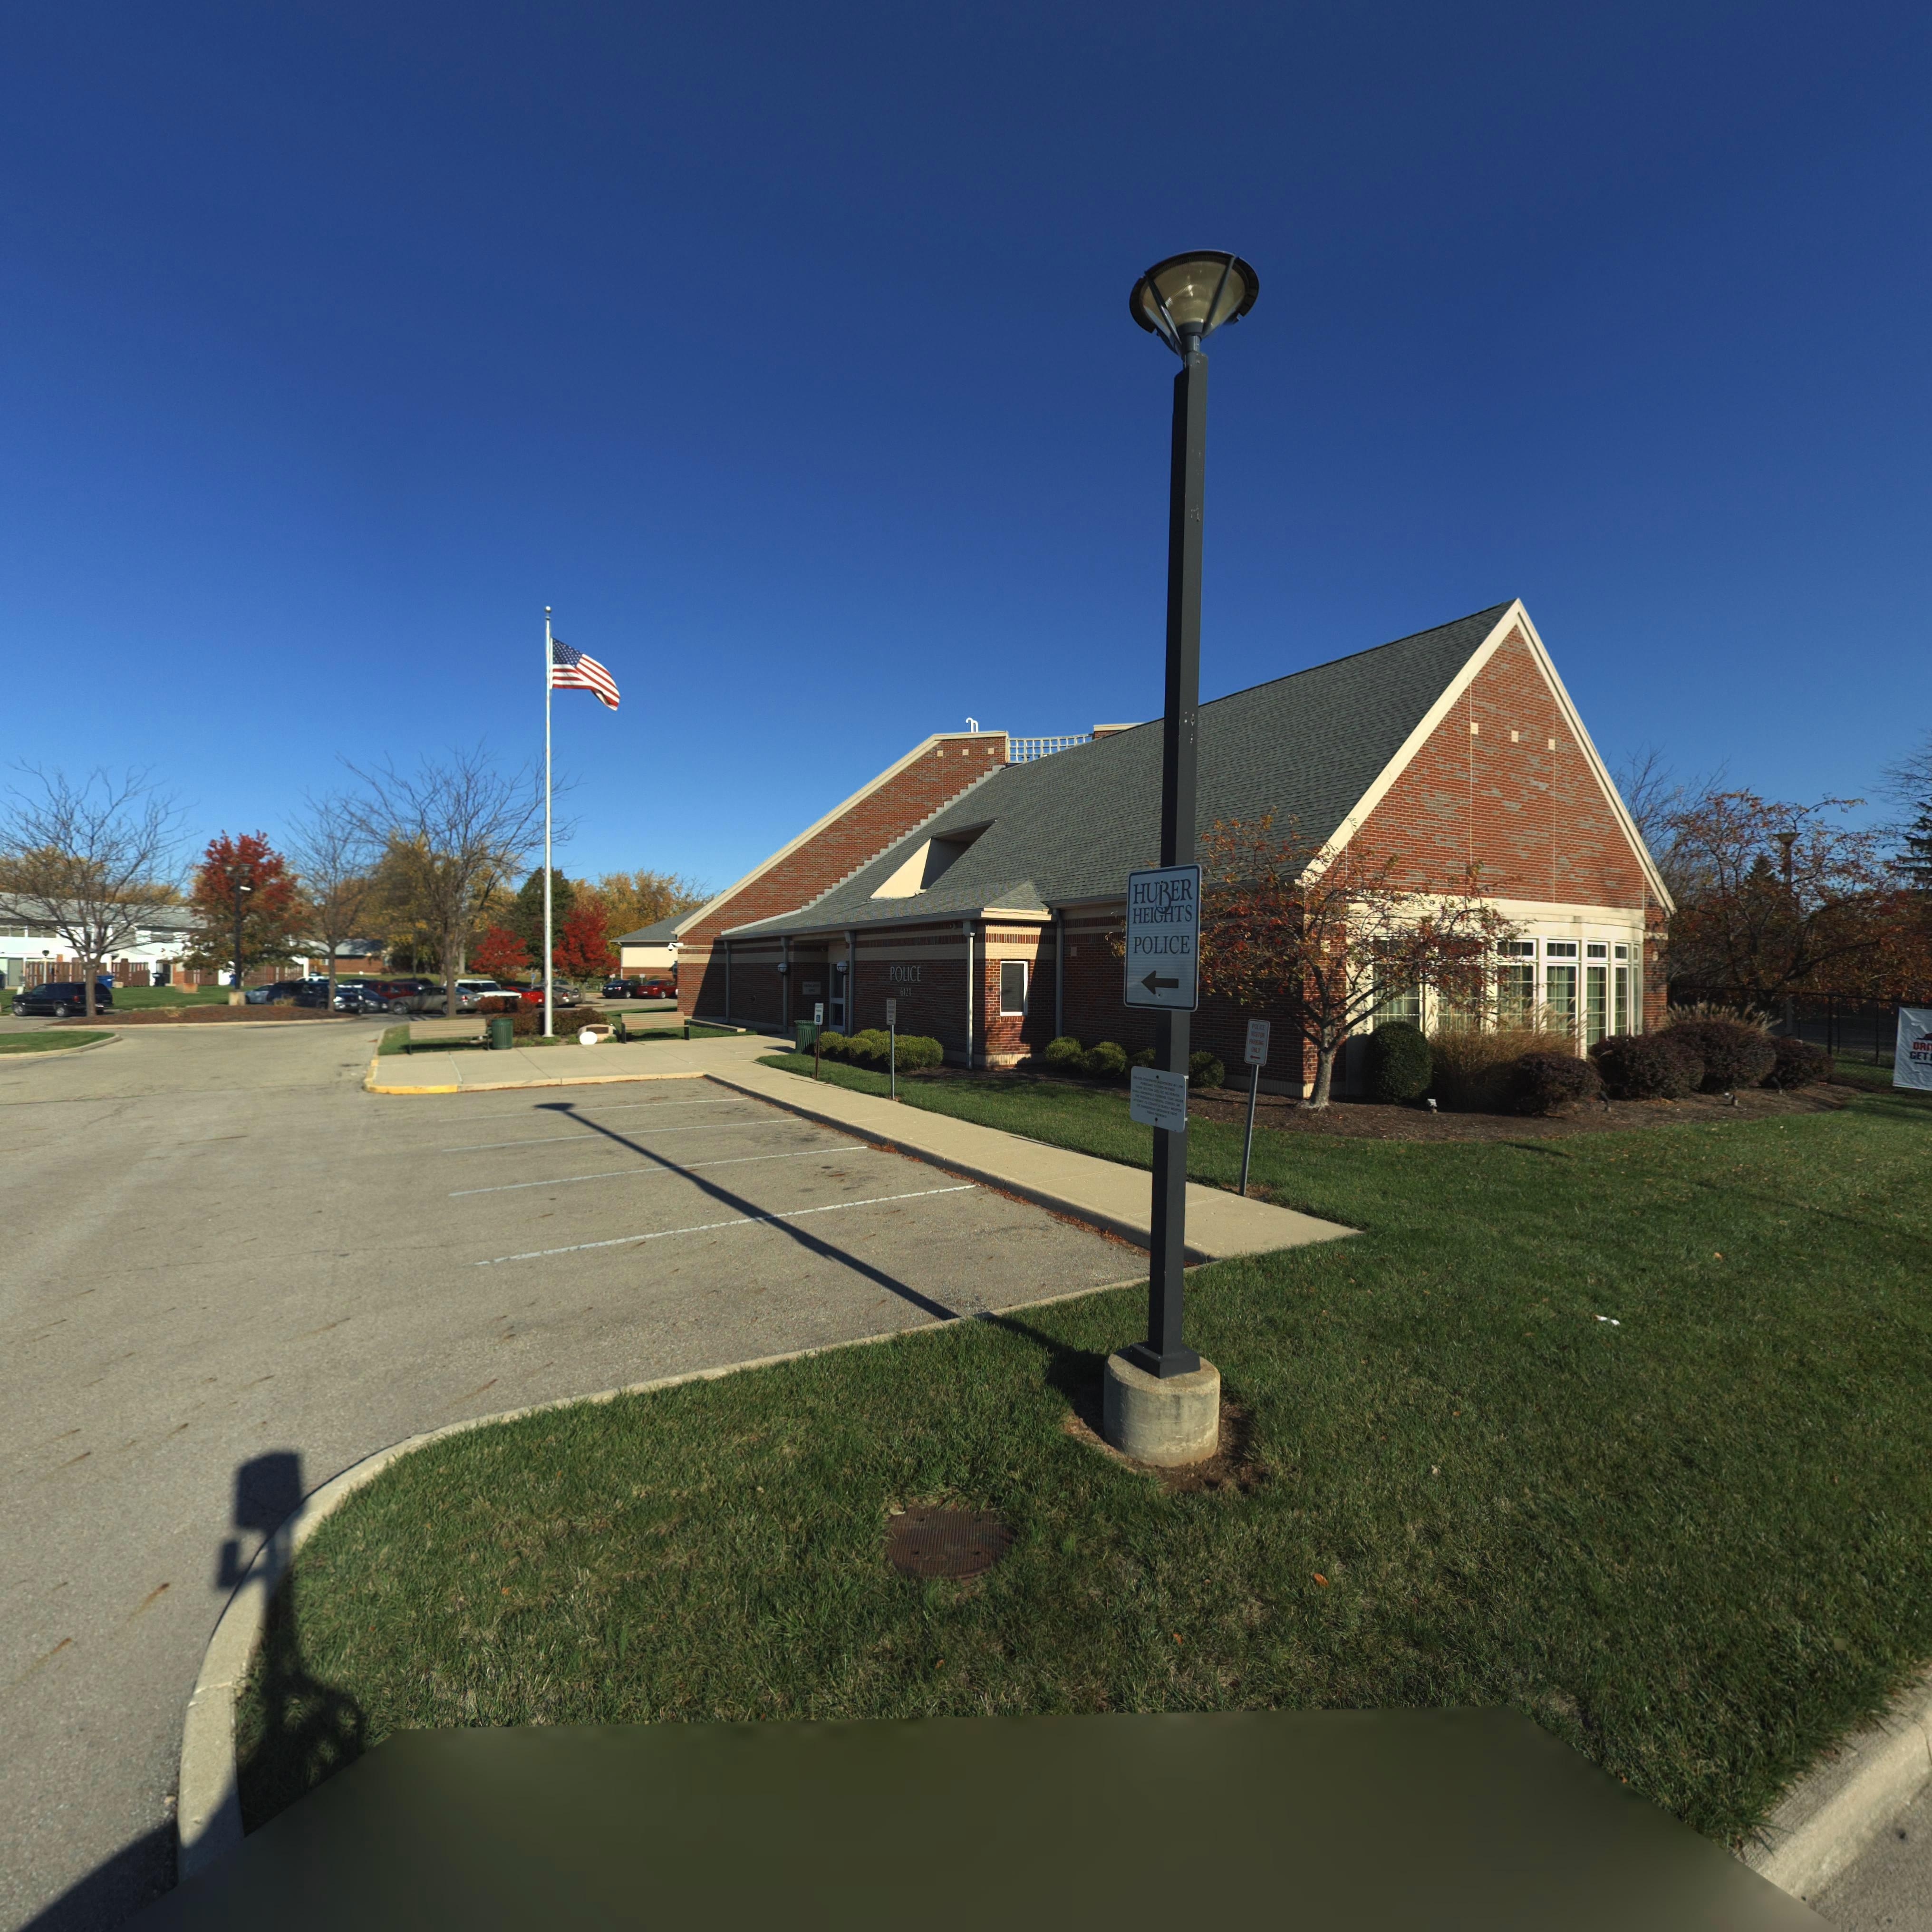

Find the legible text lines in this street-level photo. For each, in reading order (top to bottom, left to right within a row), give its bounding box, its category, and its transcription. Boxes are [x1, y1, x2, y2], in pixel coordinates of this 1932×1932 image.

[899, 987, 912, 997] StreetNumber: 6121